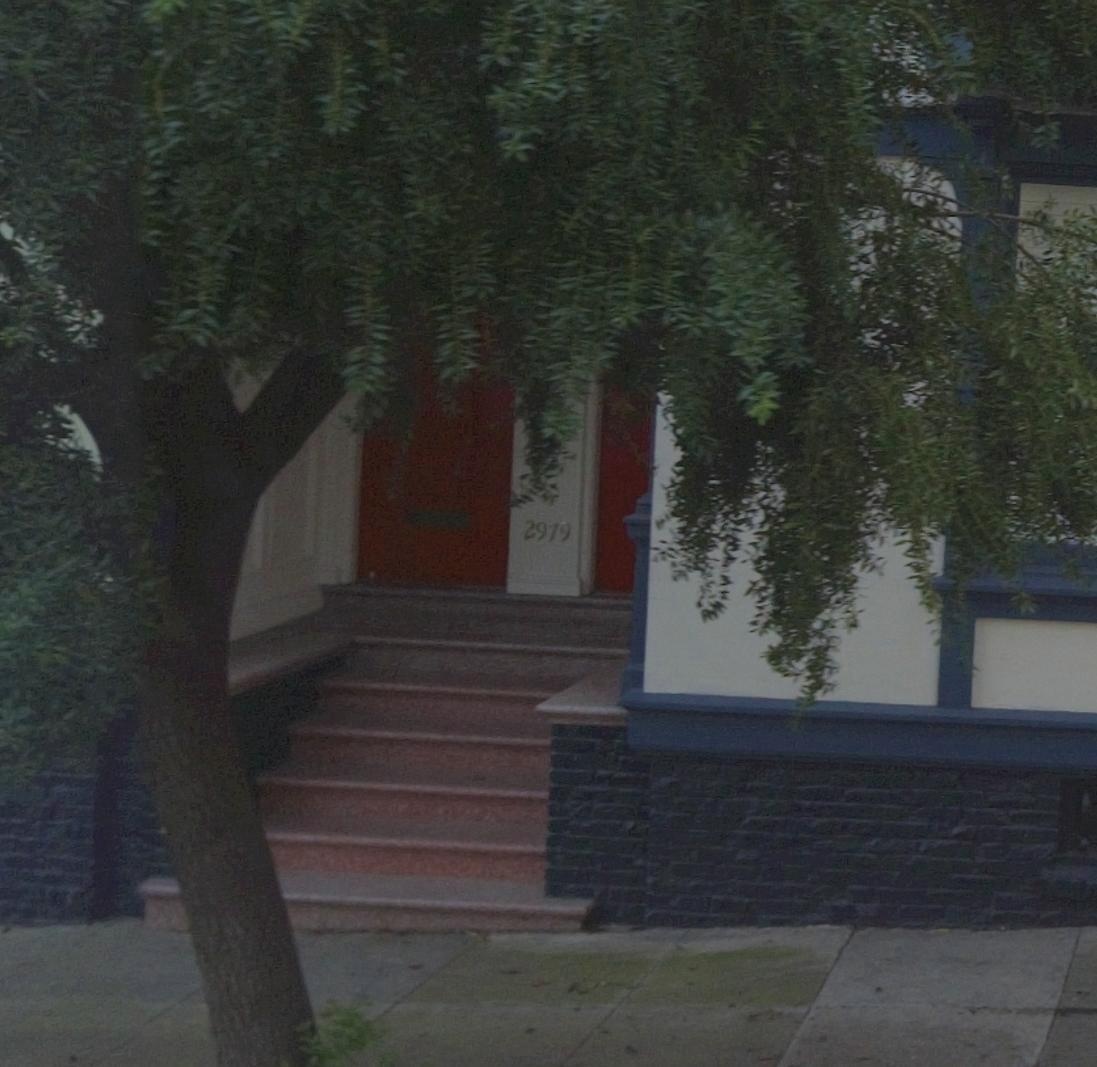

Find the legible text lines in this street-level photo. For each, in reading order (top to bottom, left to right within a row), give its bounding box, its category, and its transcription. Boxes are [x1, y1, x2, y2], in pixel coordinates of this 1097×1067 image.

[521, 517, 573, 543] StreetNumber: 2979